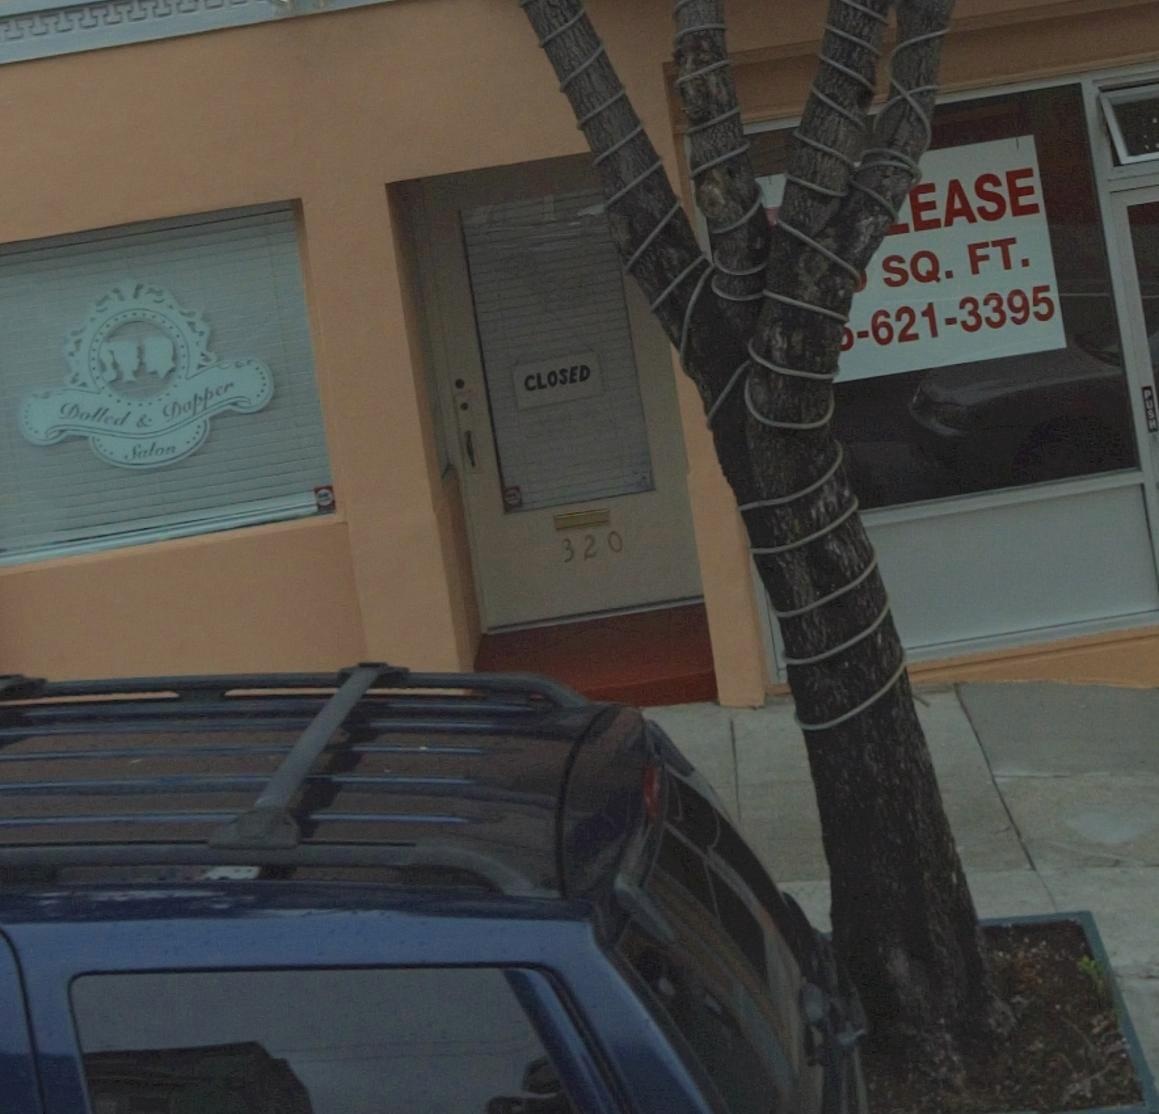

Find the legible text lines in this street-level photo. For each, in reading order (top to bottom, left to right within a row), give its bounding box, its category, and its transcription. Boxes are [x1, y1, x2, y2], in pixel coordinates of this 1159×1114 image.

[904, 162, 1043, 236] None: EASE
[878, 231, 1034, 292] None: SQ. FT.
[866, 280, 1061, 352] None: 621-3395
[55, 378, 238, 432] BusinessName: Dolled & Dapper
[521, 361, 593, 395] None: CLOSED
[1140, 385, 1158, 431] None: PUSH
[121, 437, 181, 465] BusinessName: Salon
[559, 526, 626, 566] StreetNumber: 320